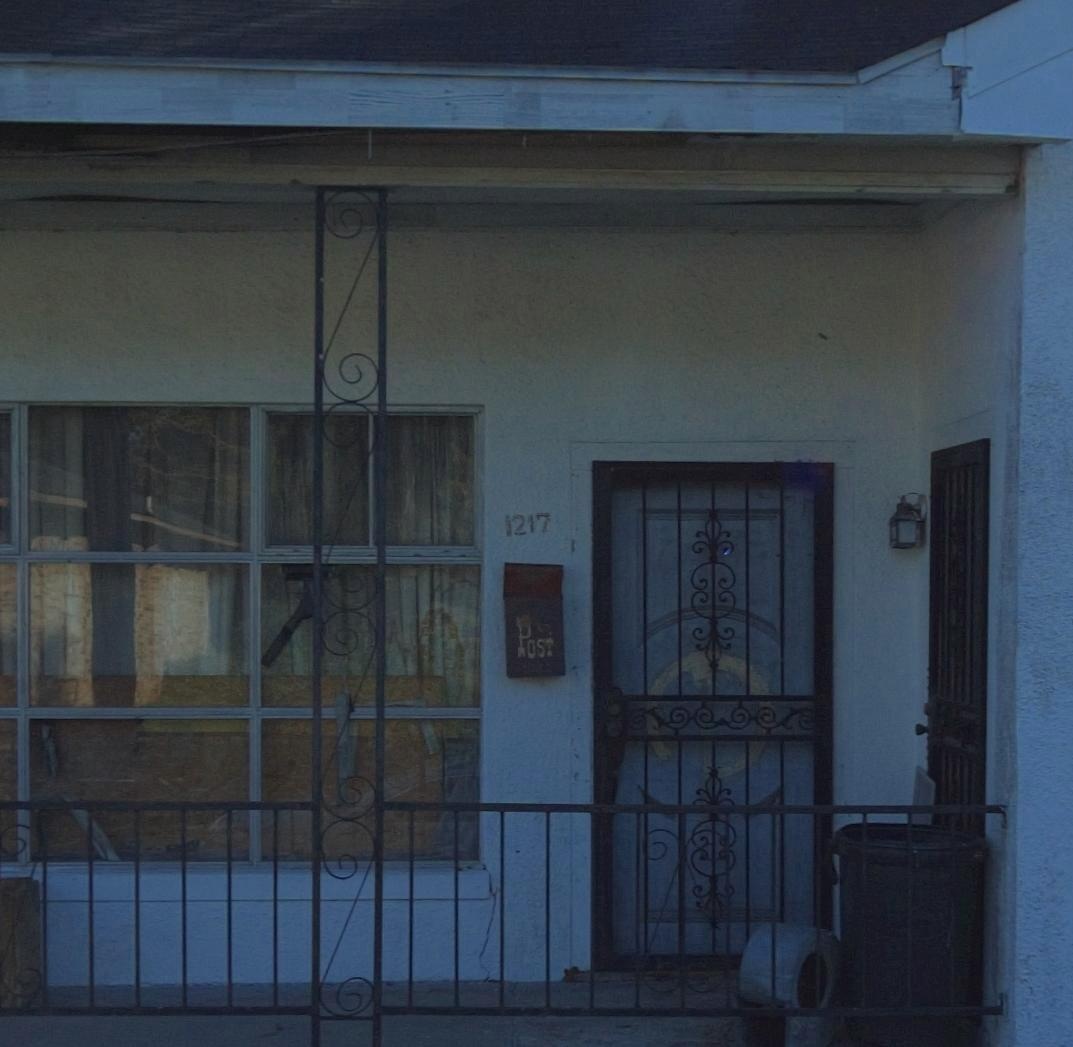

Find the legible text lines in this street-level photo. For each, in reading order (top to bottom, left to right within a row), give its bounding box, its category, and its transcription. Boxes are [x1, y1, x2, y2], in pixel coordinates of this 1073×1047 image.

[502, 511, 554, 543] StreetNumber: 1217
[524, 635, 556, 662] None: OST